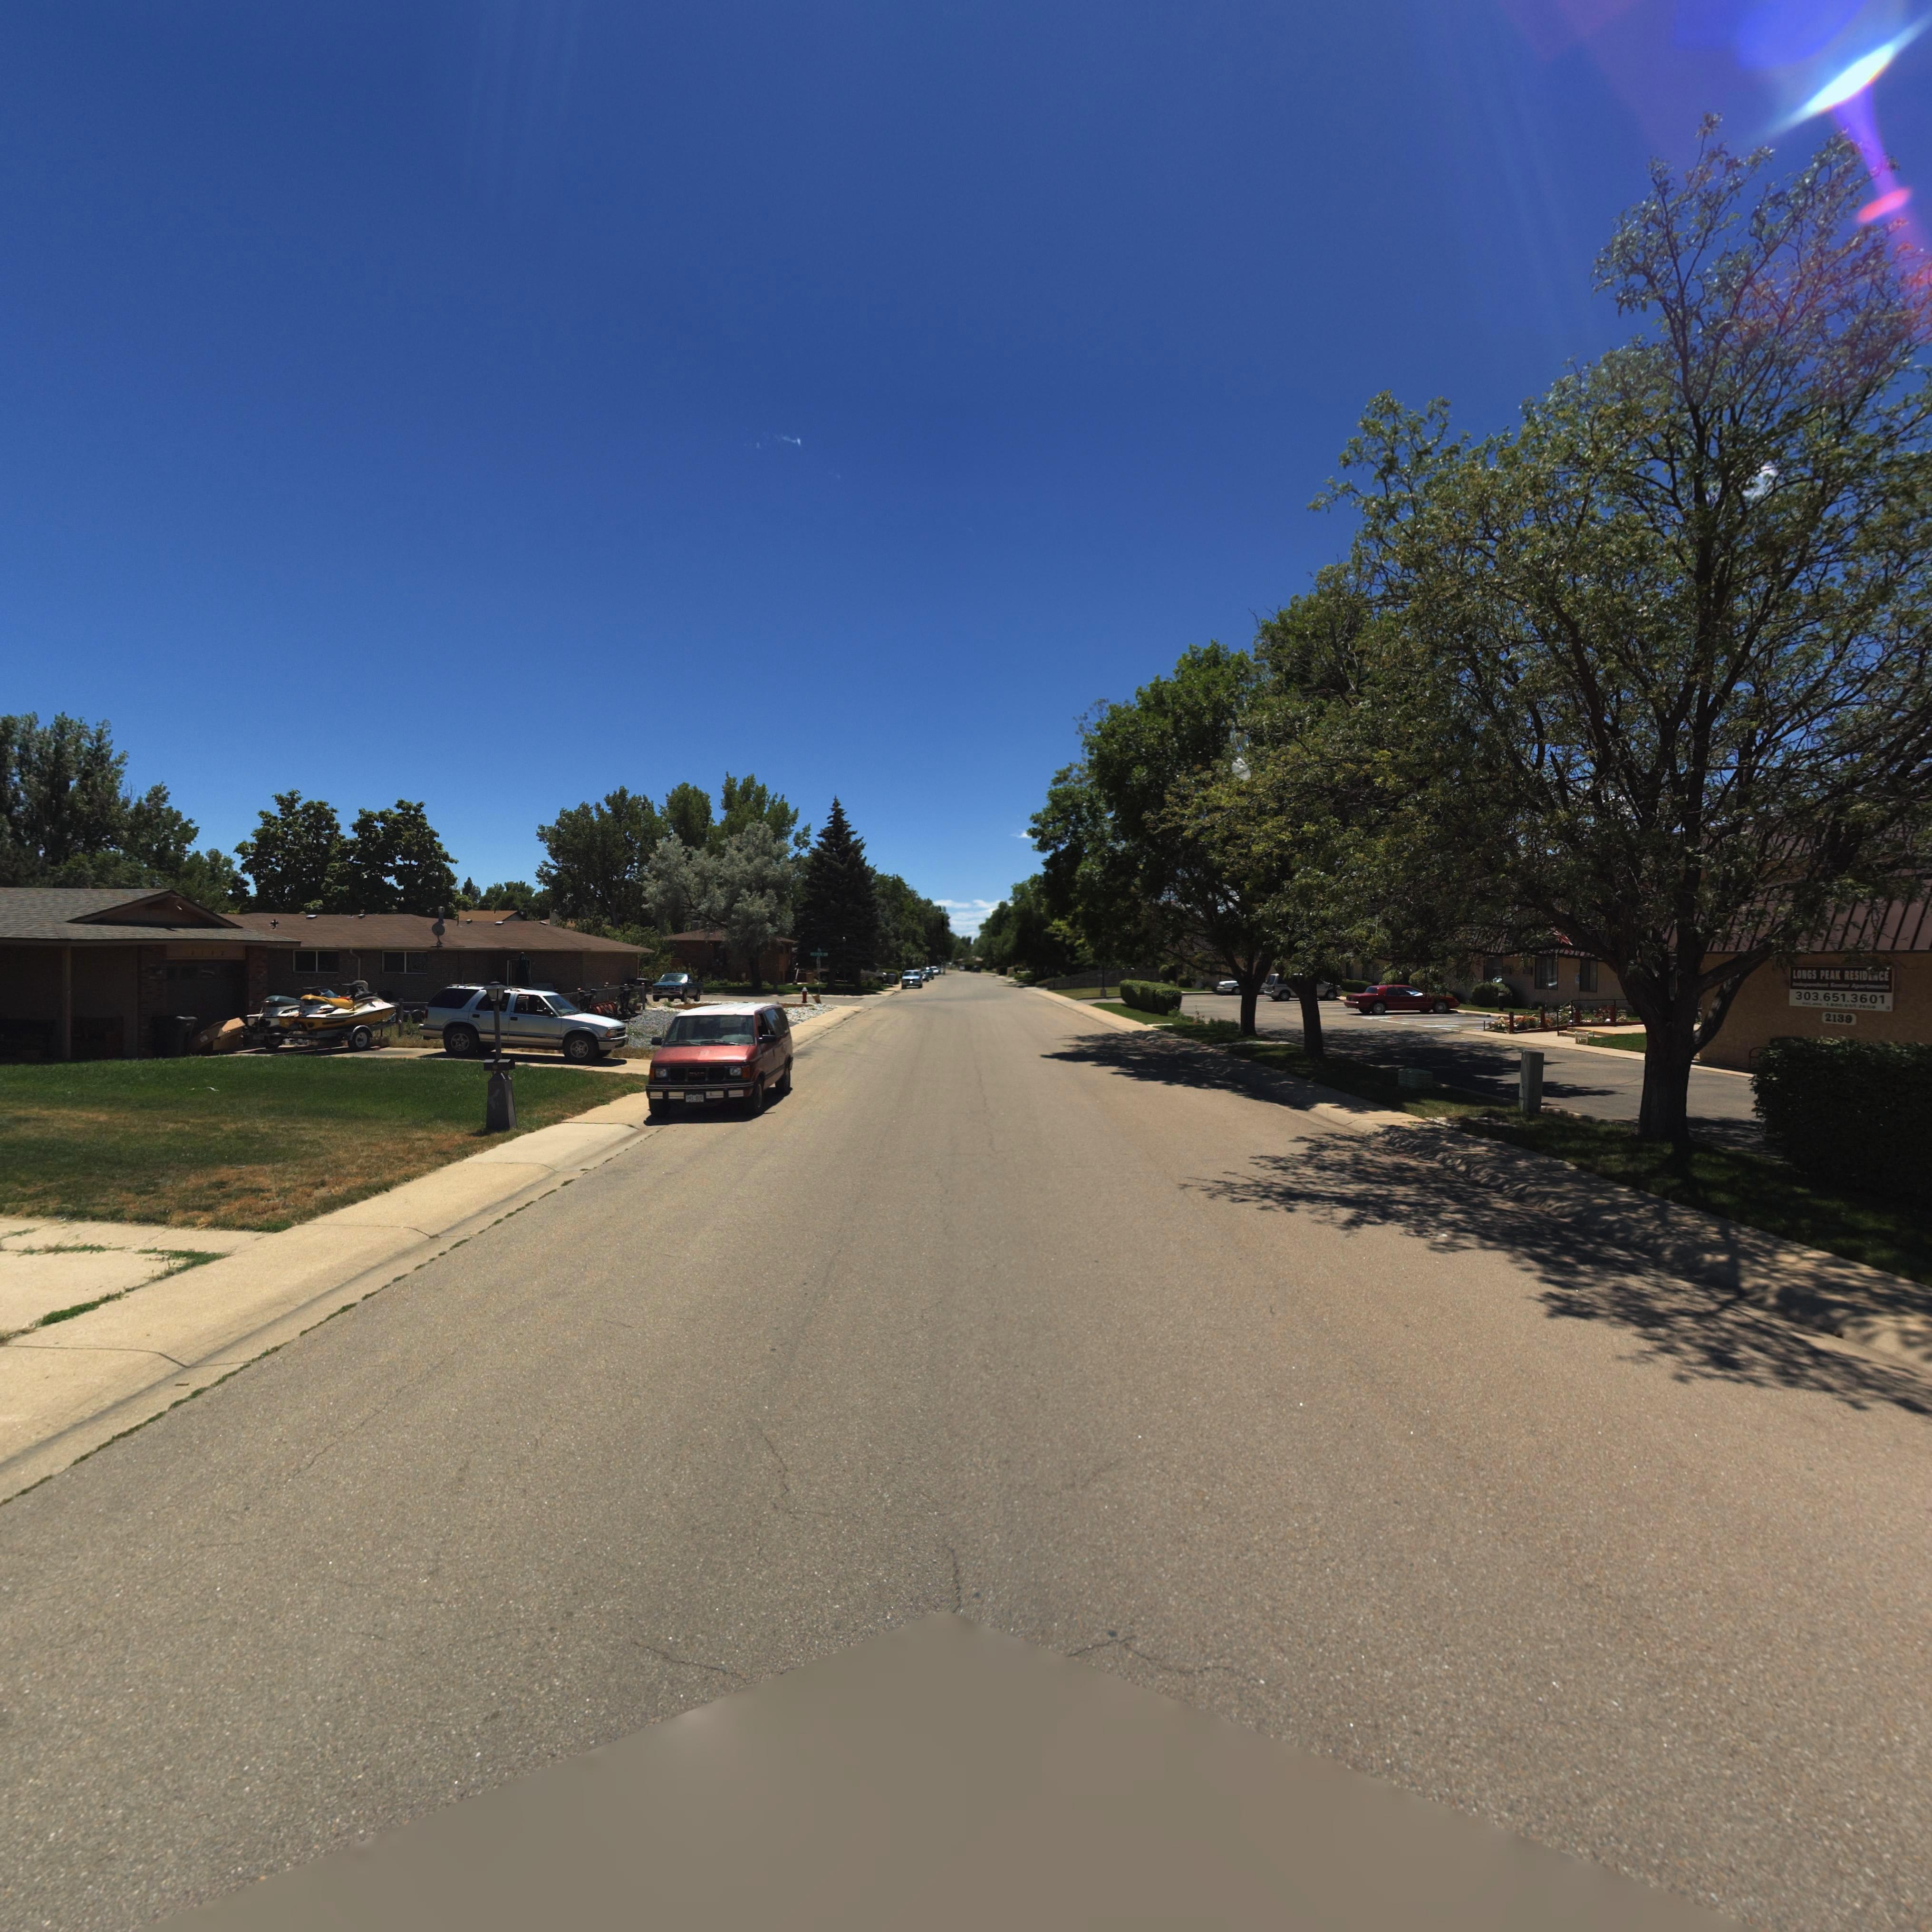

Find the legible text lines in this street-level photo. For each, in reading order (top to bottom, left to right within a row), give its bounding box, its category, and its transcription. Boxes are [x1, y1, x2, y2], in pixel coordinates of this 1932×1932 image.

[190, 949, 225, 956] StreetNumber: 2132
[1792, 968, 1890, 981] BusinessName: LONGS PEAK RESID**CE
[1824, 1013, 1853, 1024] StreetNumber: 2139